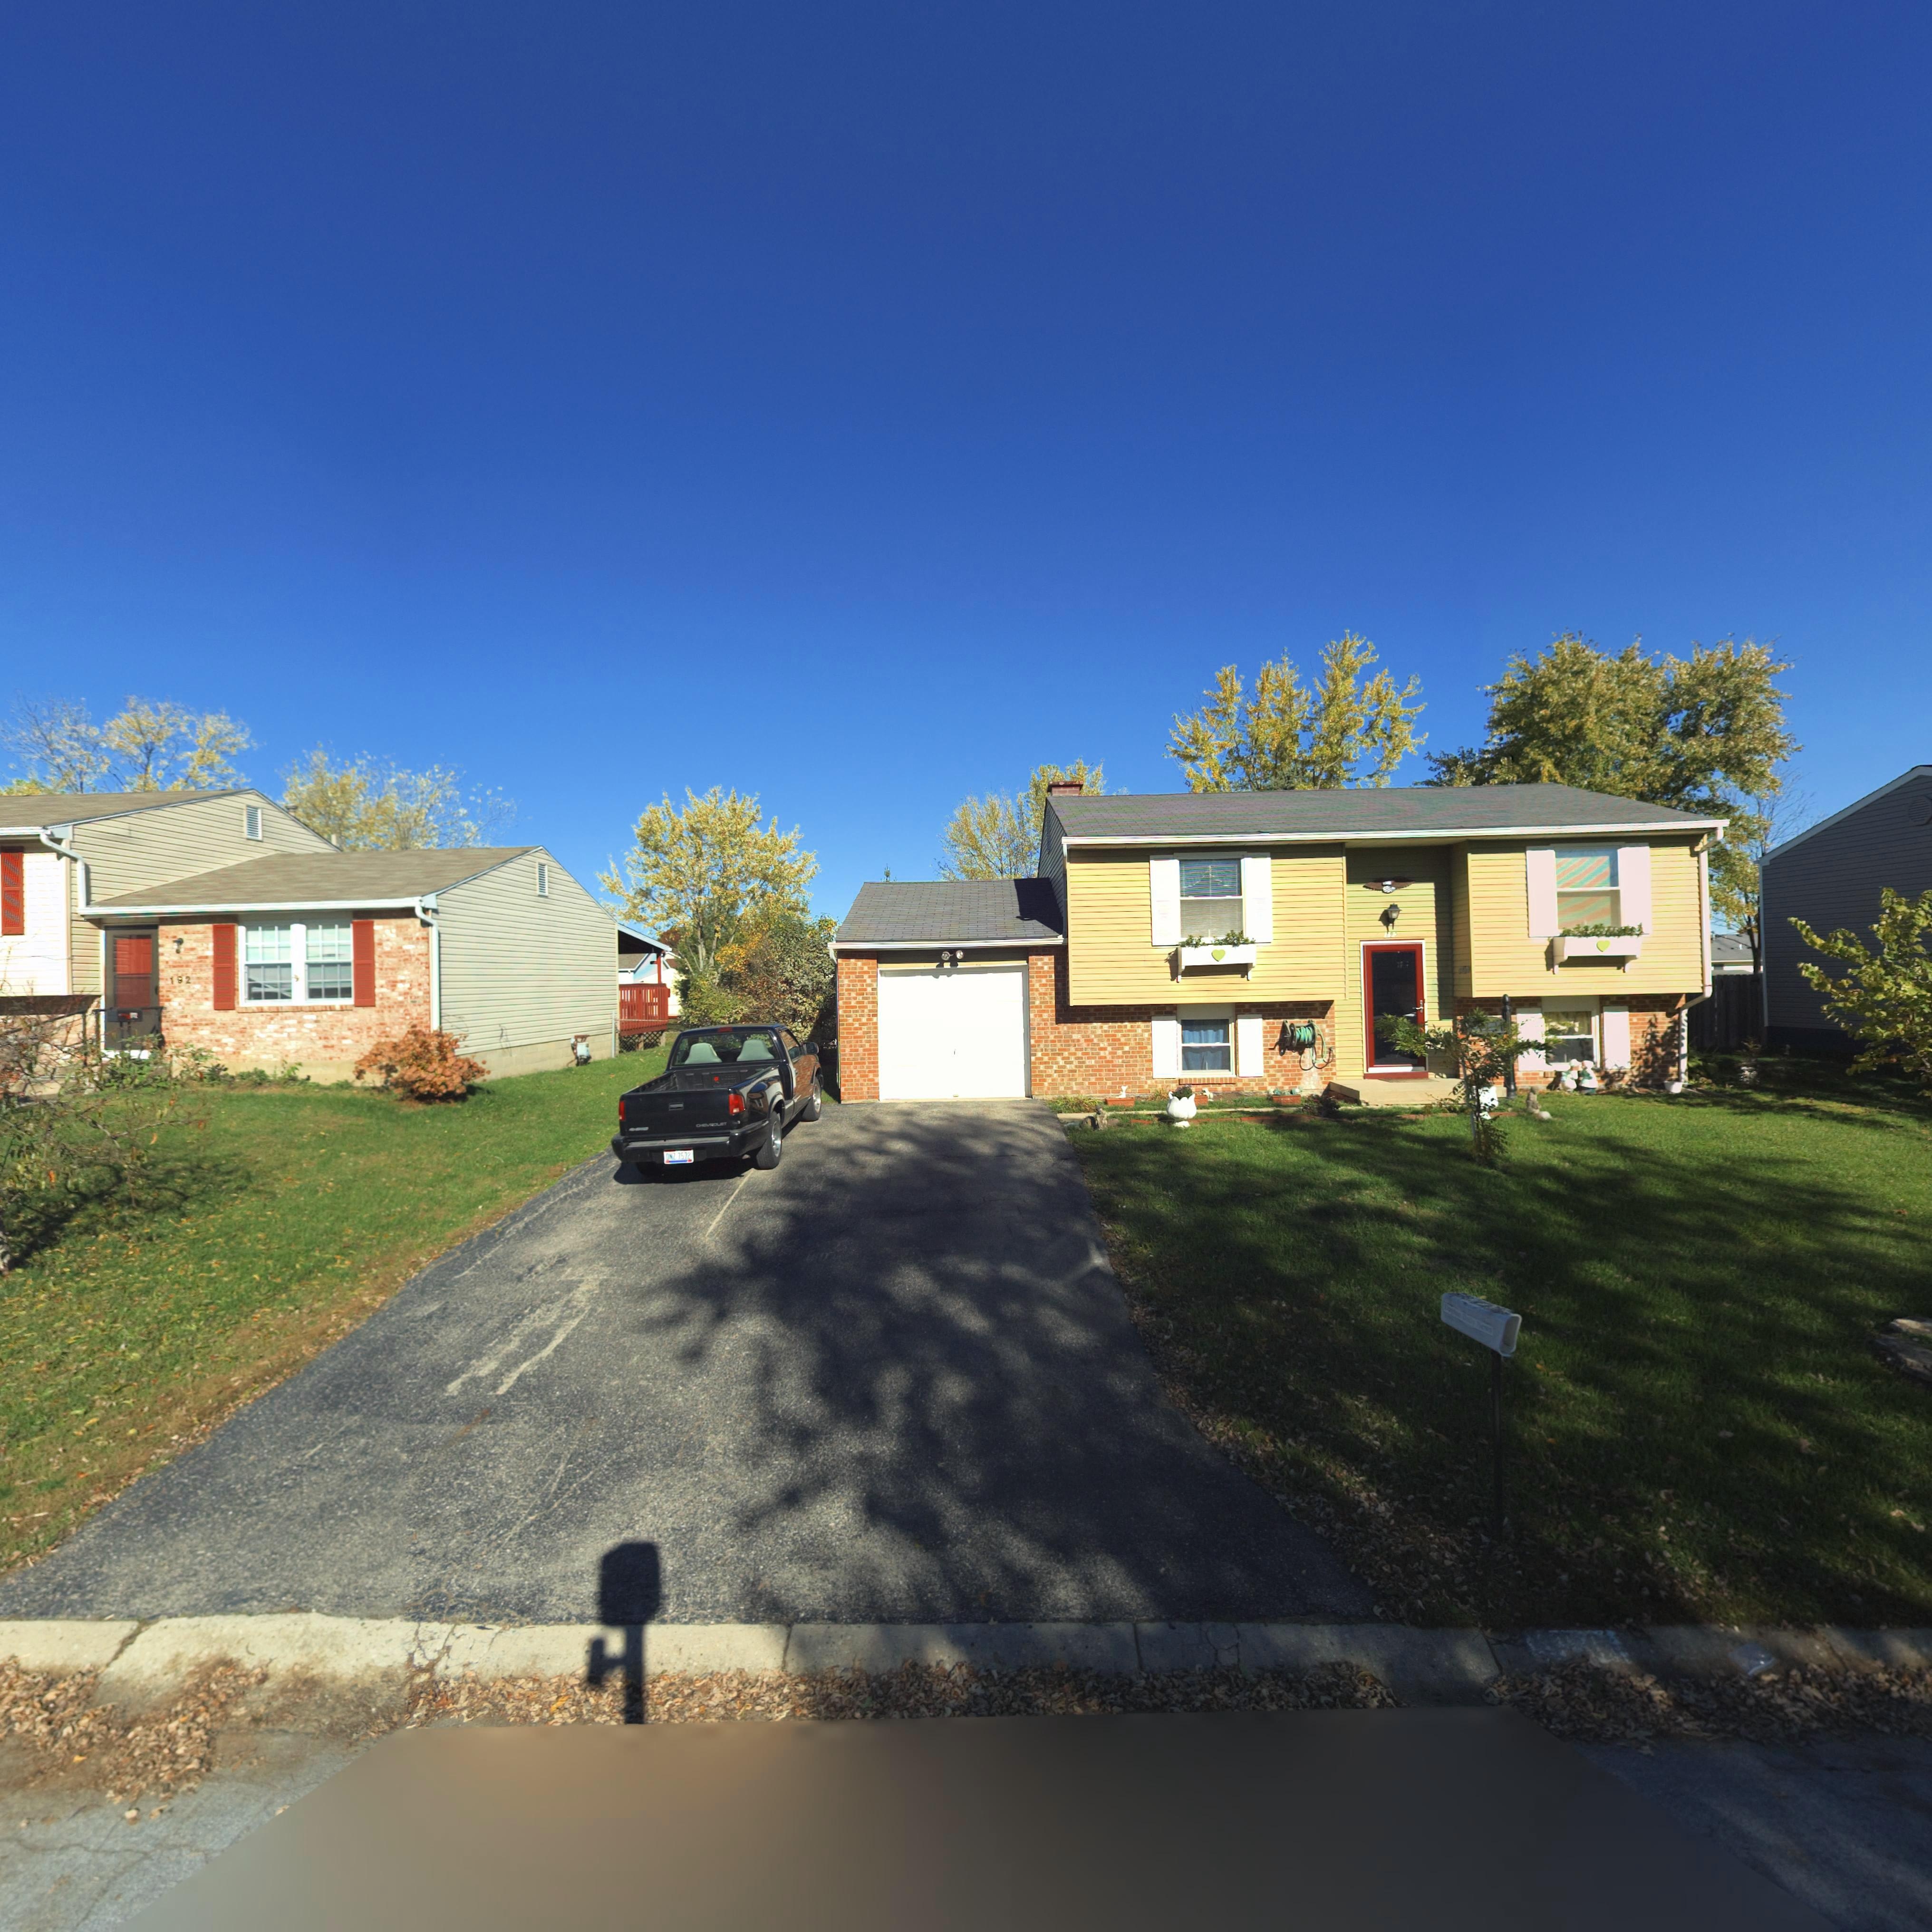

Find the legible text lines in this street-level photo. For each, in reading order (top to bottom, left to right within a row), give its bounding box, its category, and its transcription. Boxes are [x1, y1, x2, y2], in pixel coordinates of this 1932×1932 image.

[169, 975, 193, 986] StreetNumber: 192